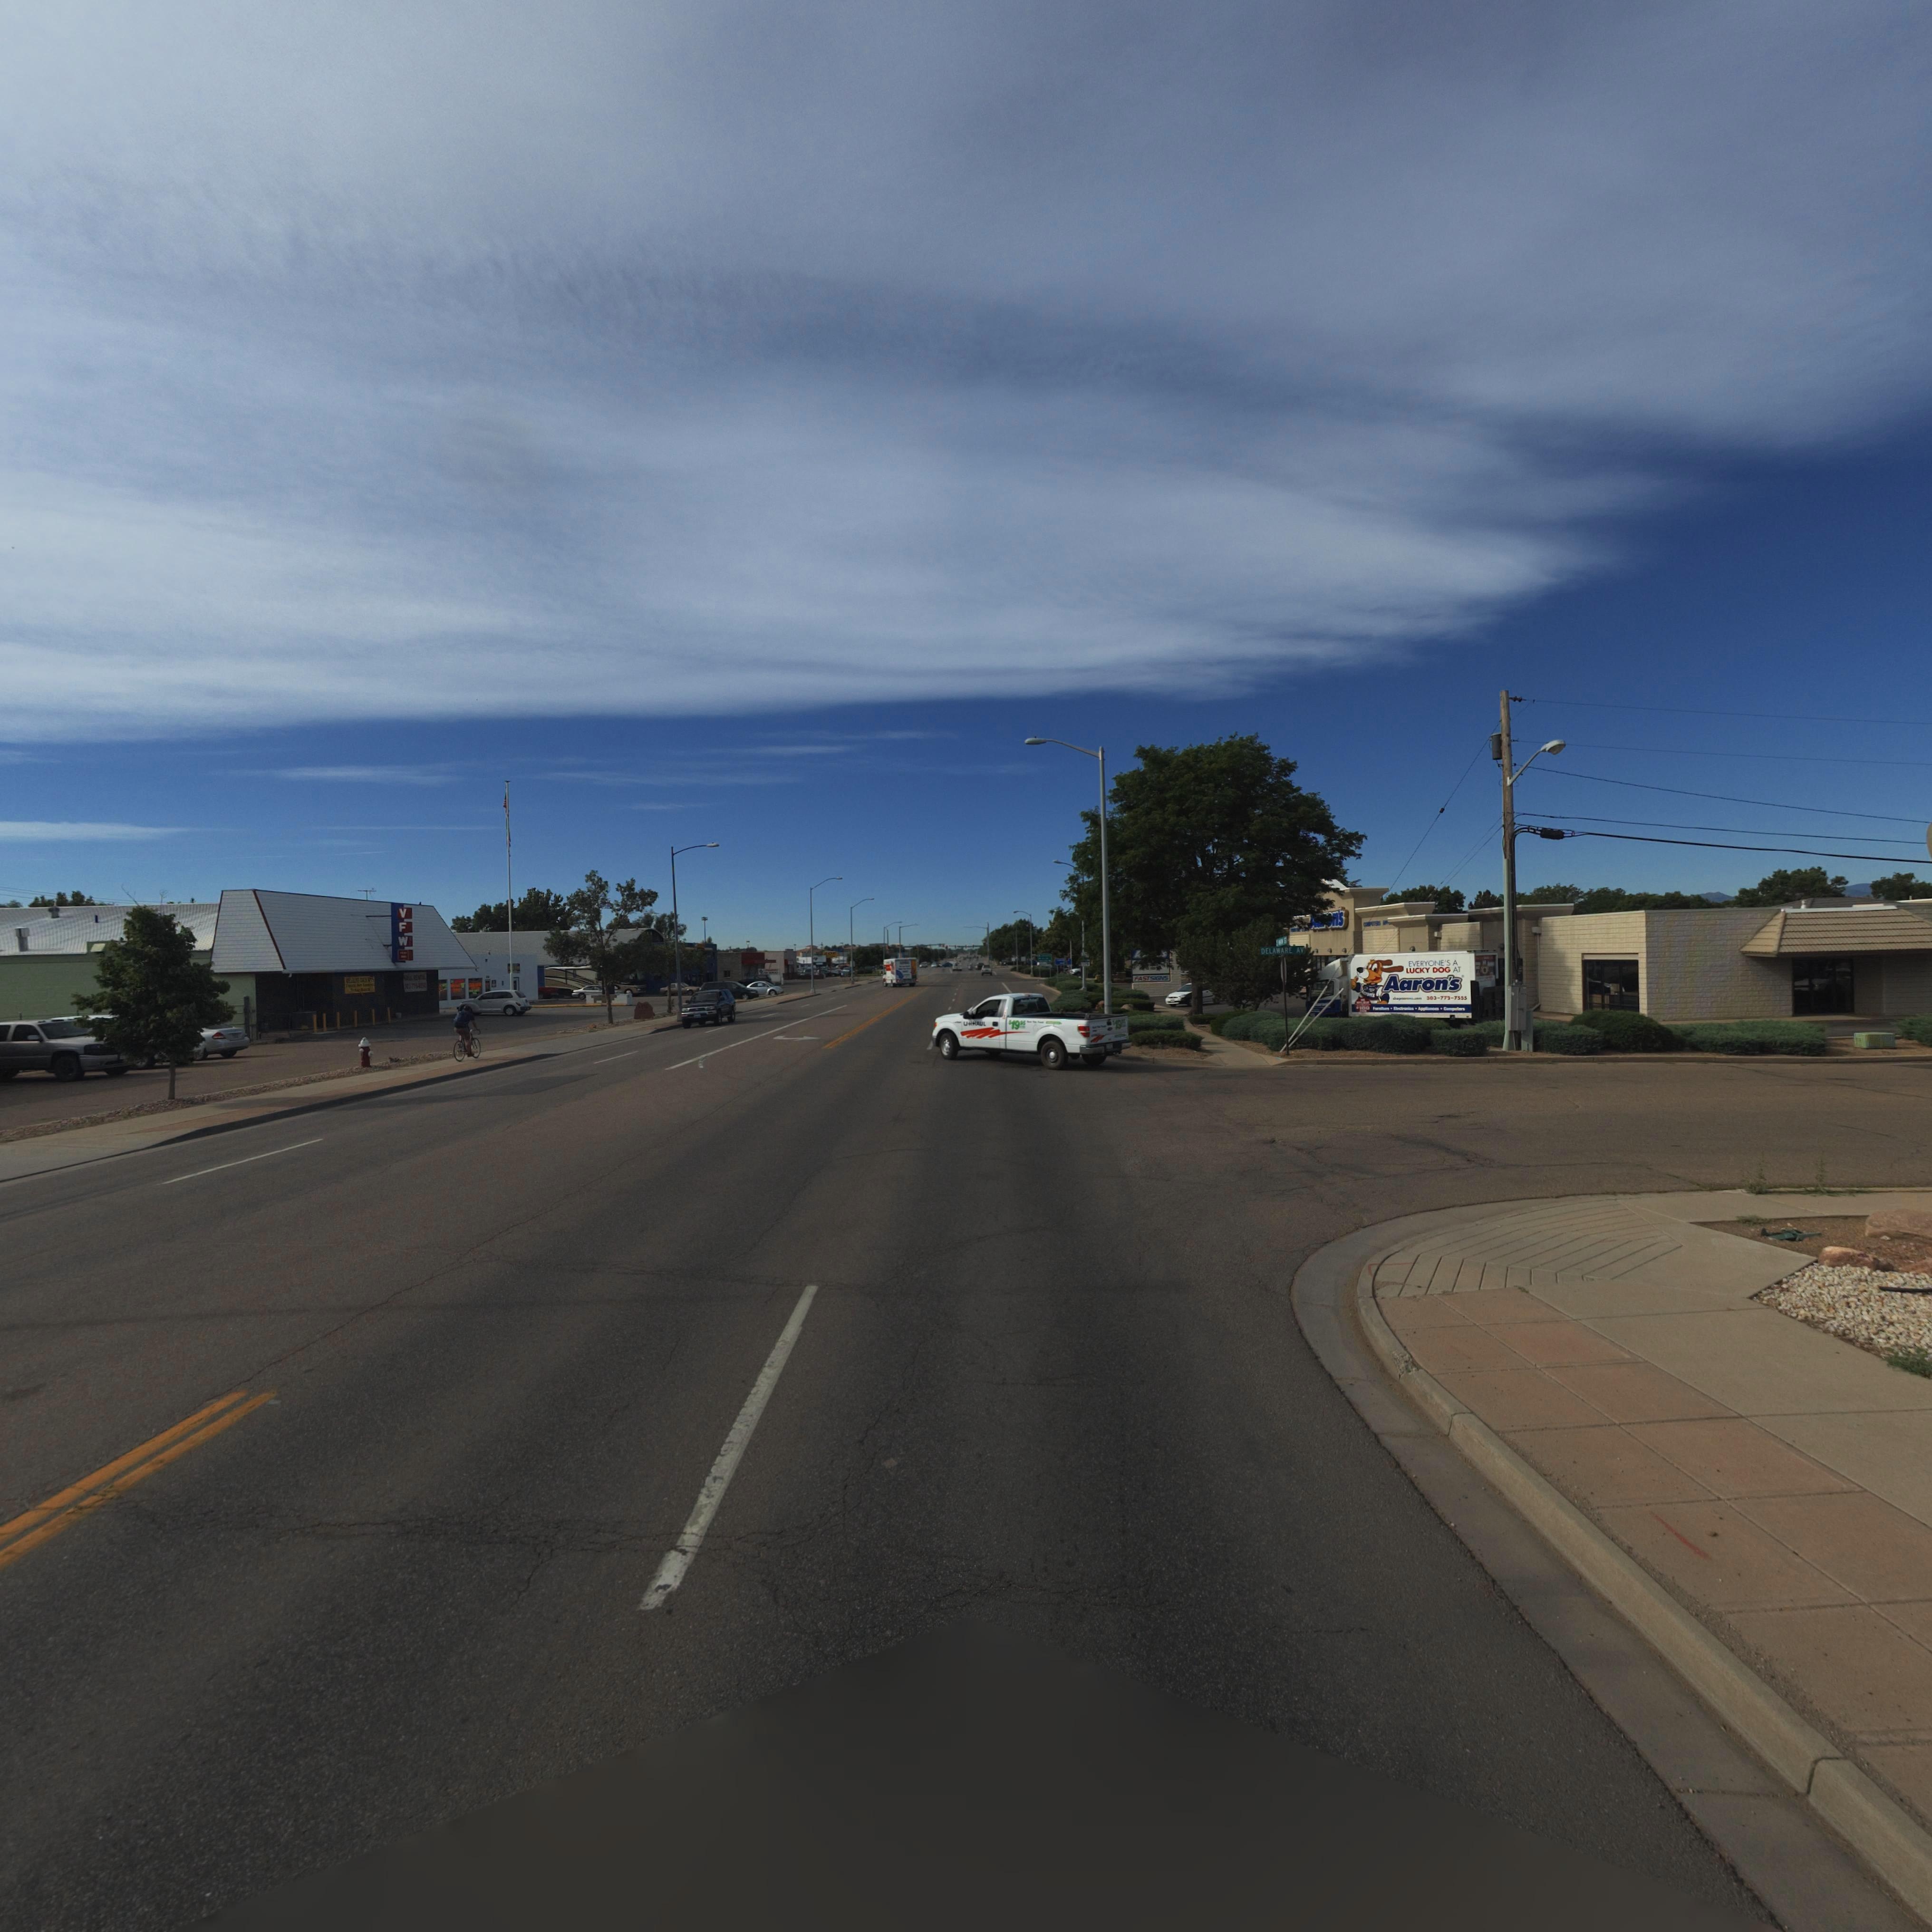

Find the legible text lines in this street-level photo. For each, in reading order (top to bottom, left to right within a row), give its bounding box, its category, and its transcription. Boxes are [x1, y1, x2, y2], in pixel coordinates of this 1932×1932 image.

[397, 908, 408, 946] BusinessName: VFW
[1308, 906, 1346, 929] BusinessName: A***n's
[1260, 946, 1304, 955] StreetName: DELAWARE AV
[1133, 975, 1169, 981] BusinessName: FAST SIGNS